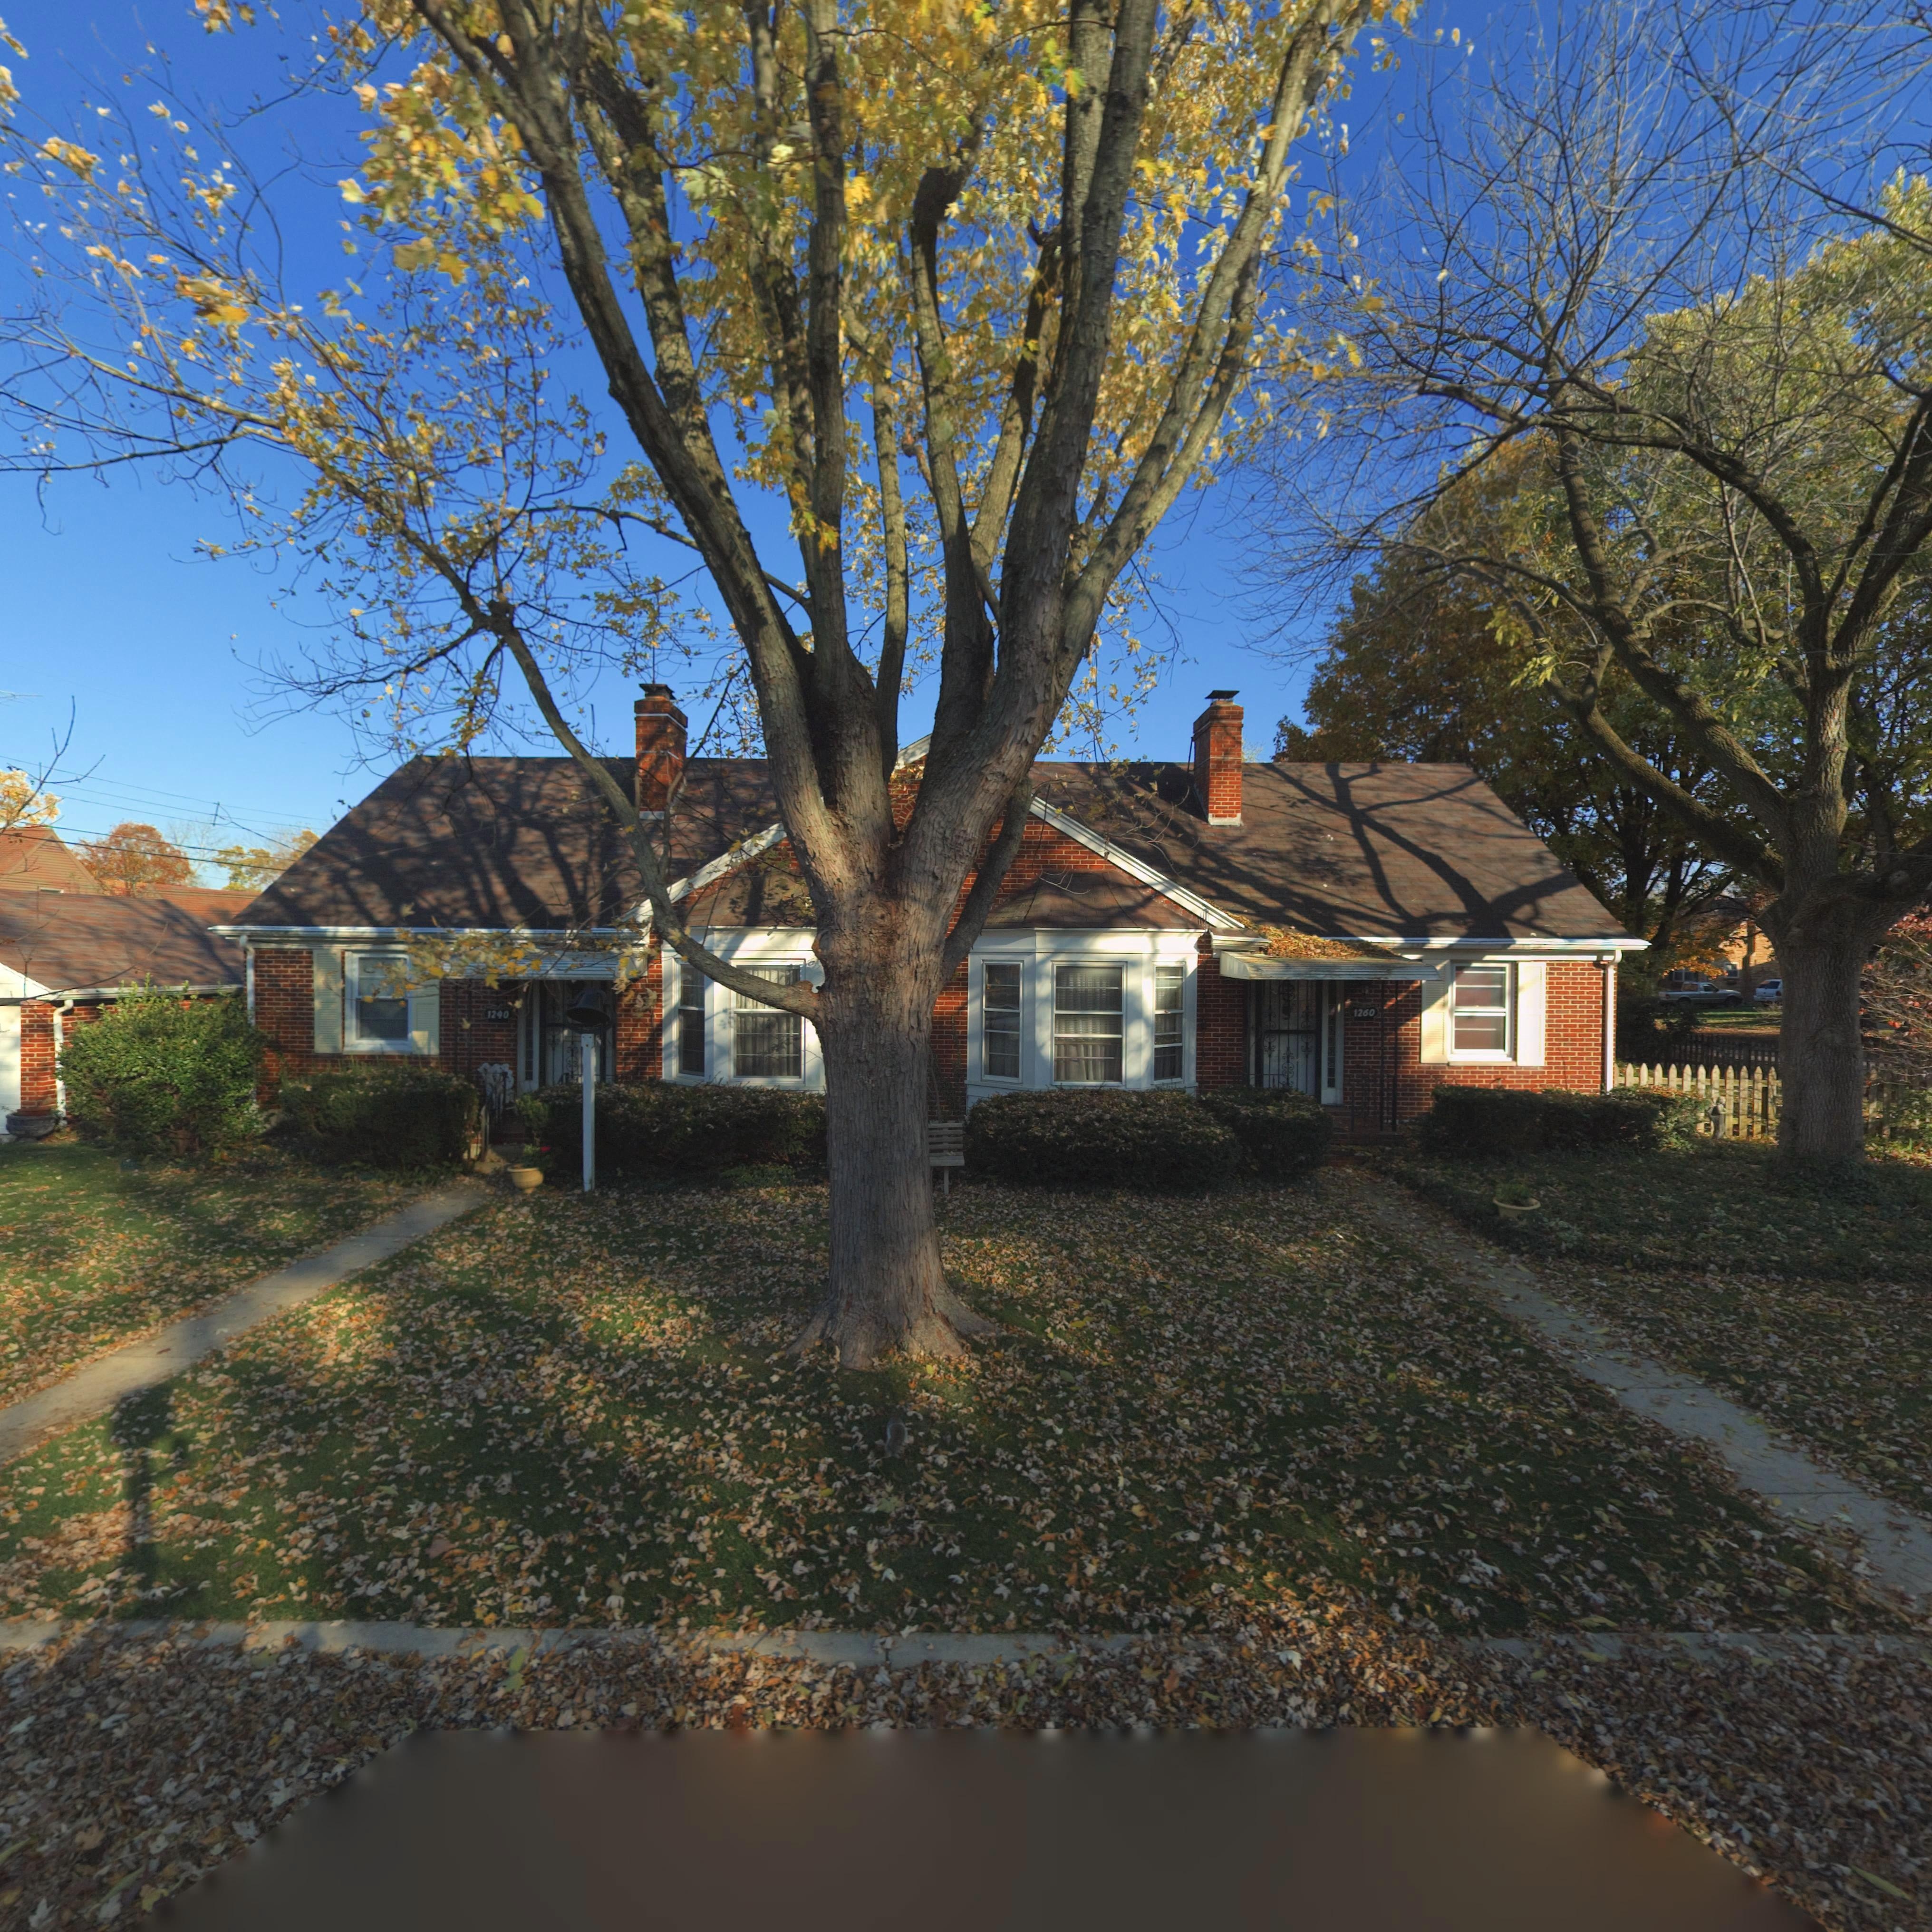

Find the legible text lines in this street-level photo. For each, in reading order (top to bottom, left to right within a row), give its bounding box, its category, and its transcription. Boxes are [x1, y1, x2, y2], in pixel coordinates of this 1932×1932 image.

[486, 1009, 509, 1020] StreetNumber: 1240
[1353, 1008, 1375, 1016] StreetNumber: 1260